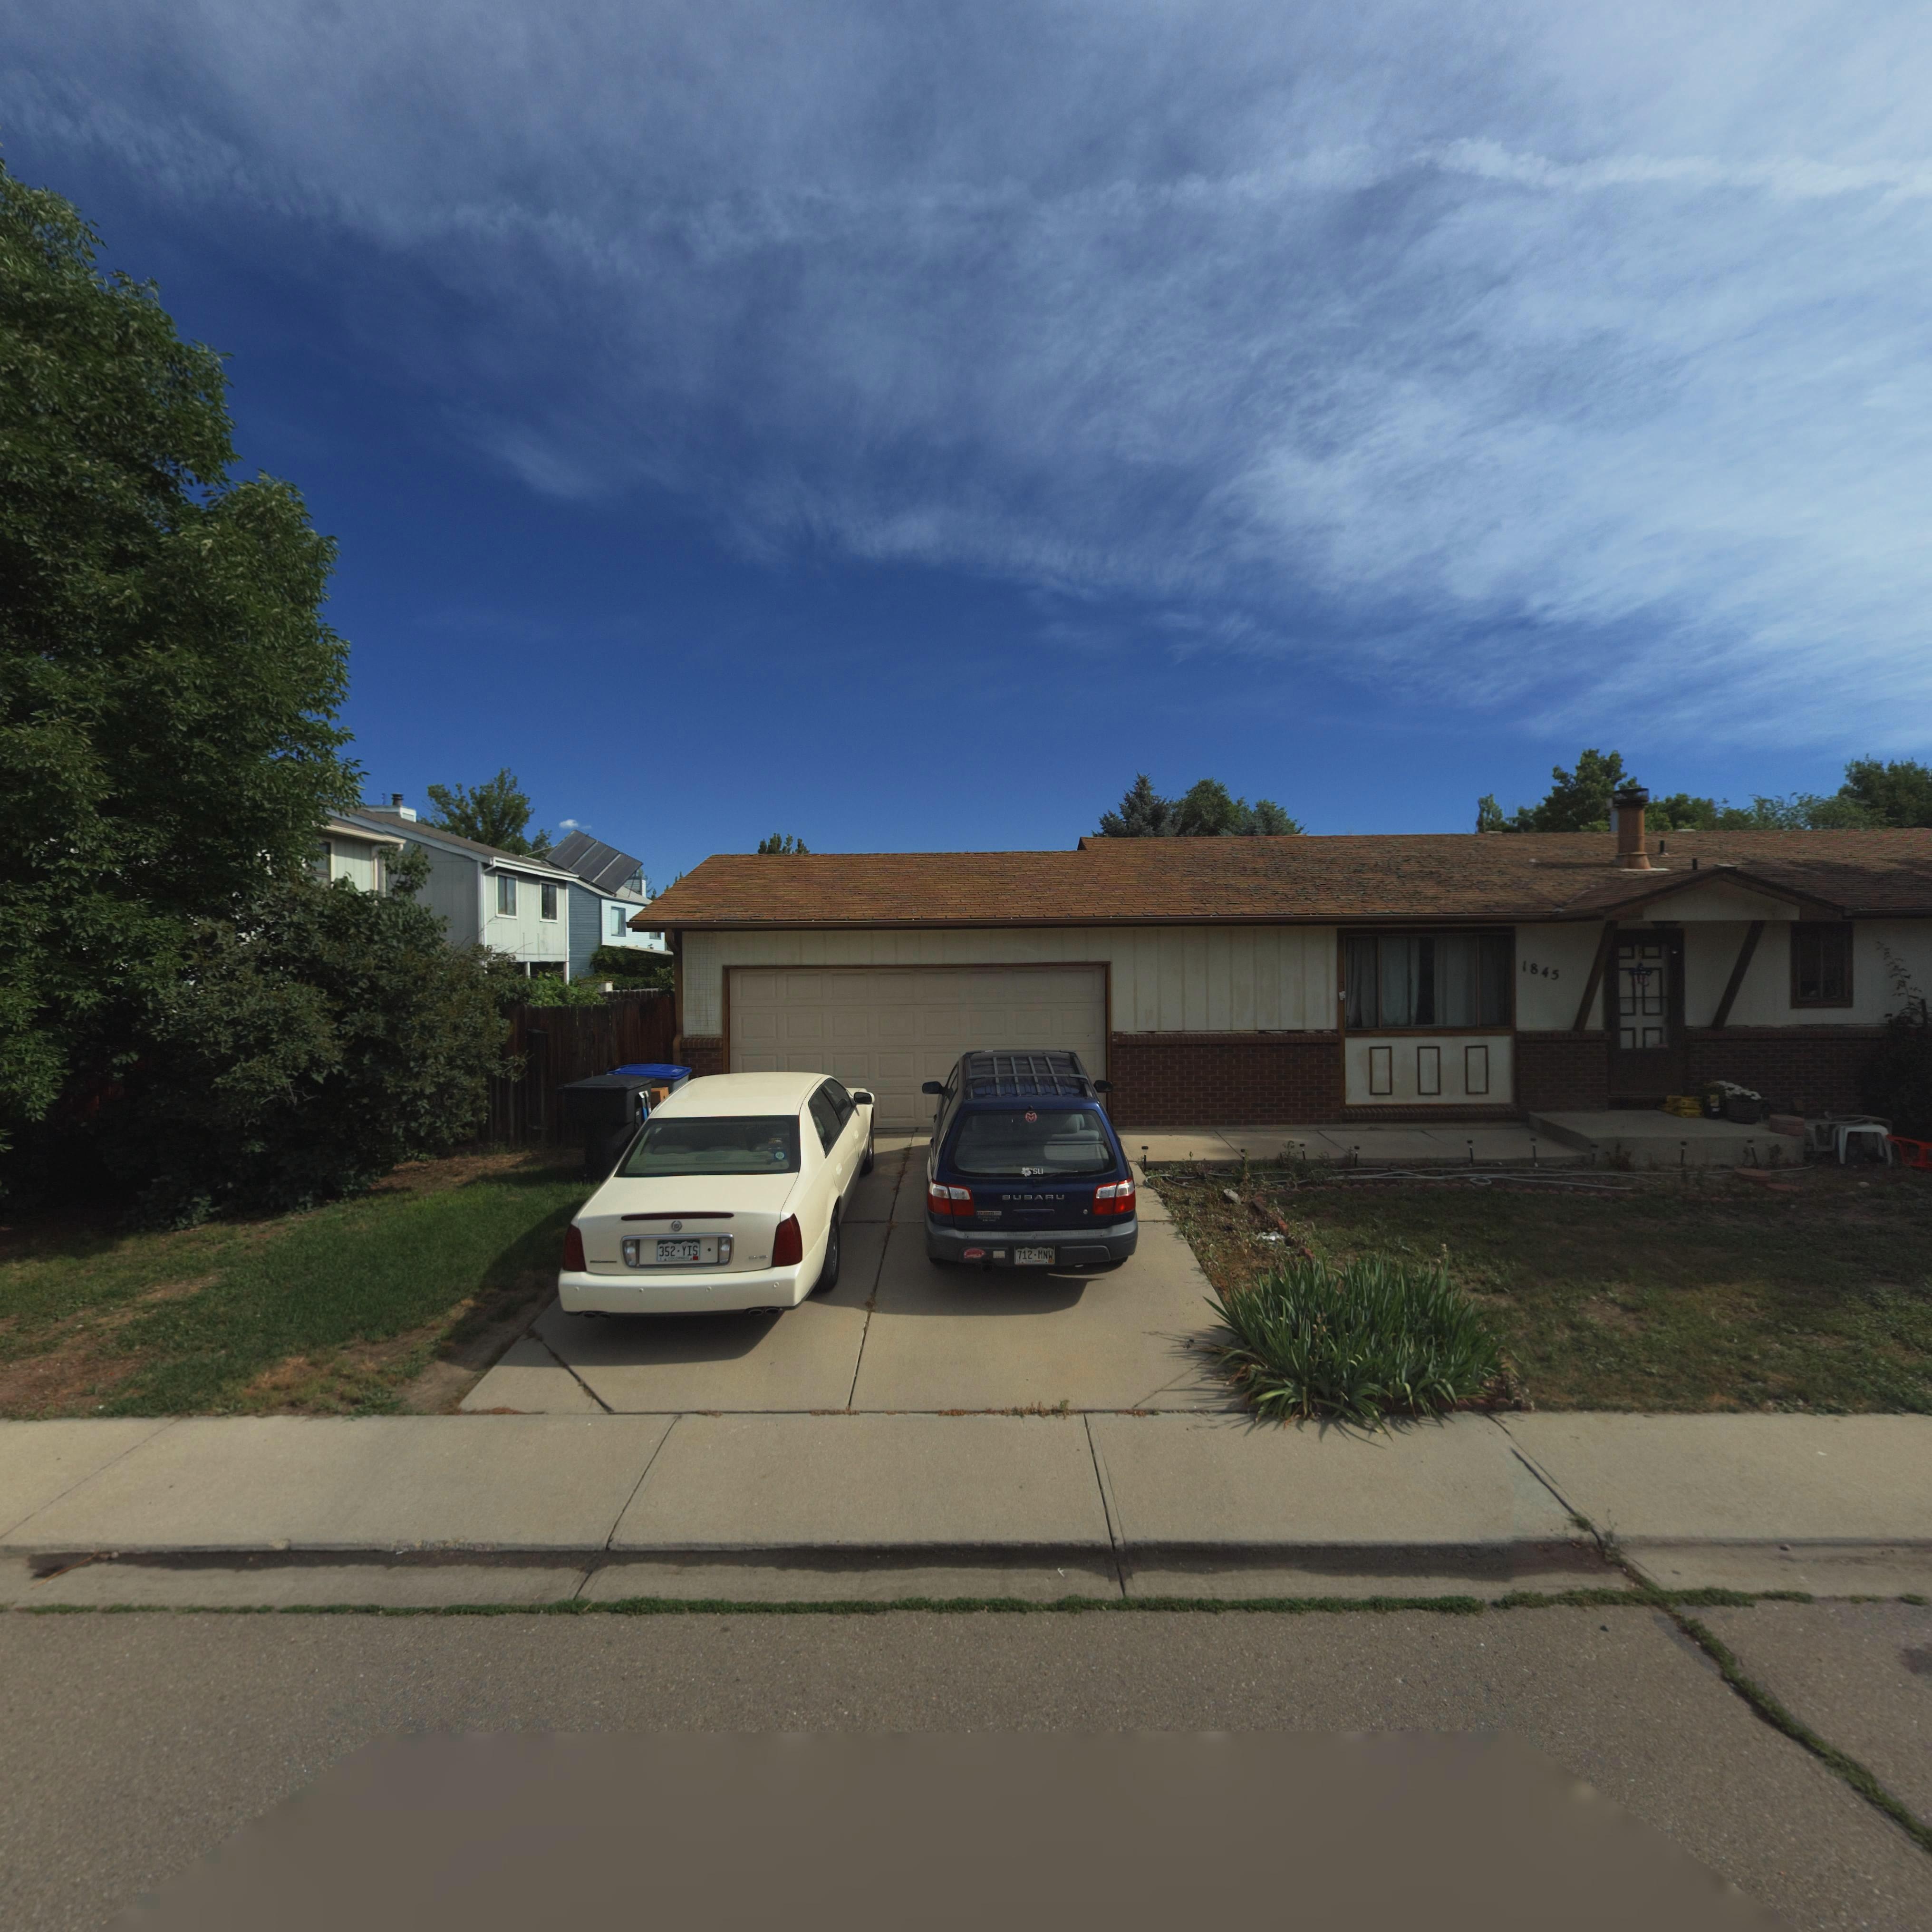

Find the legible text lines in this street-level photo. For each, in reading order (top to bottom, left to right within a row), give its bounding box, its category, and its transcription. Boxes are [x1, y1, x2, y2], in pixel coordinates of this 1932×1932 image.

[1522, 960, 1559, 980] StreetNumber: 1845